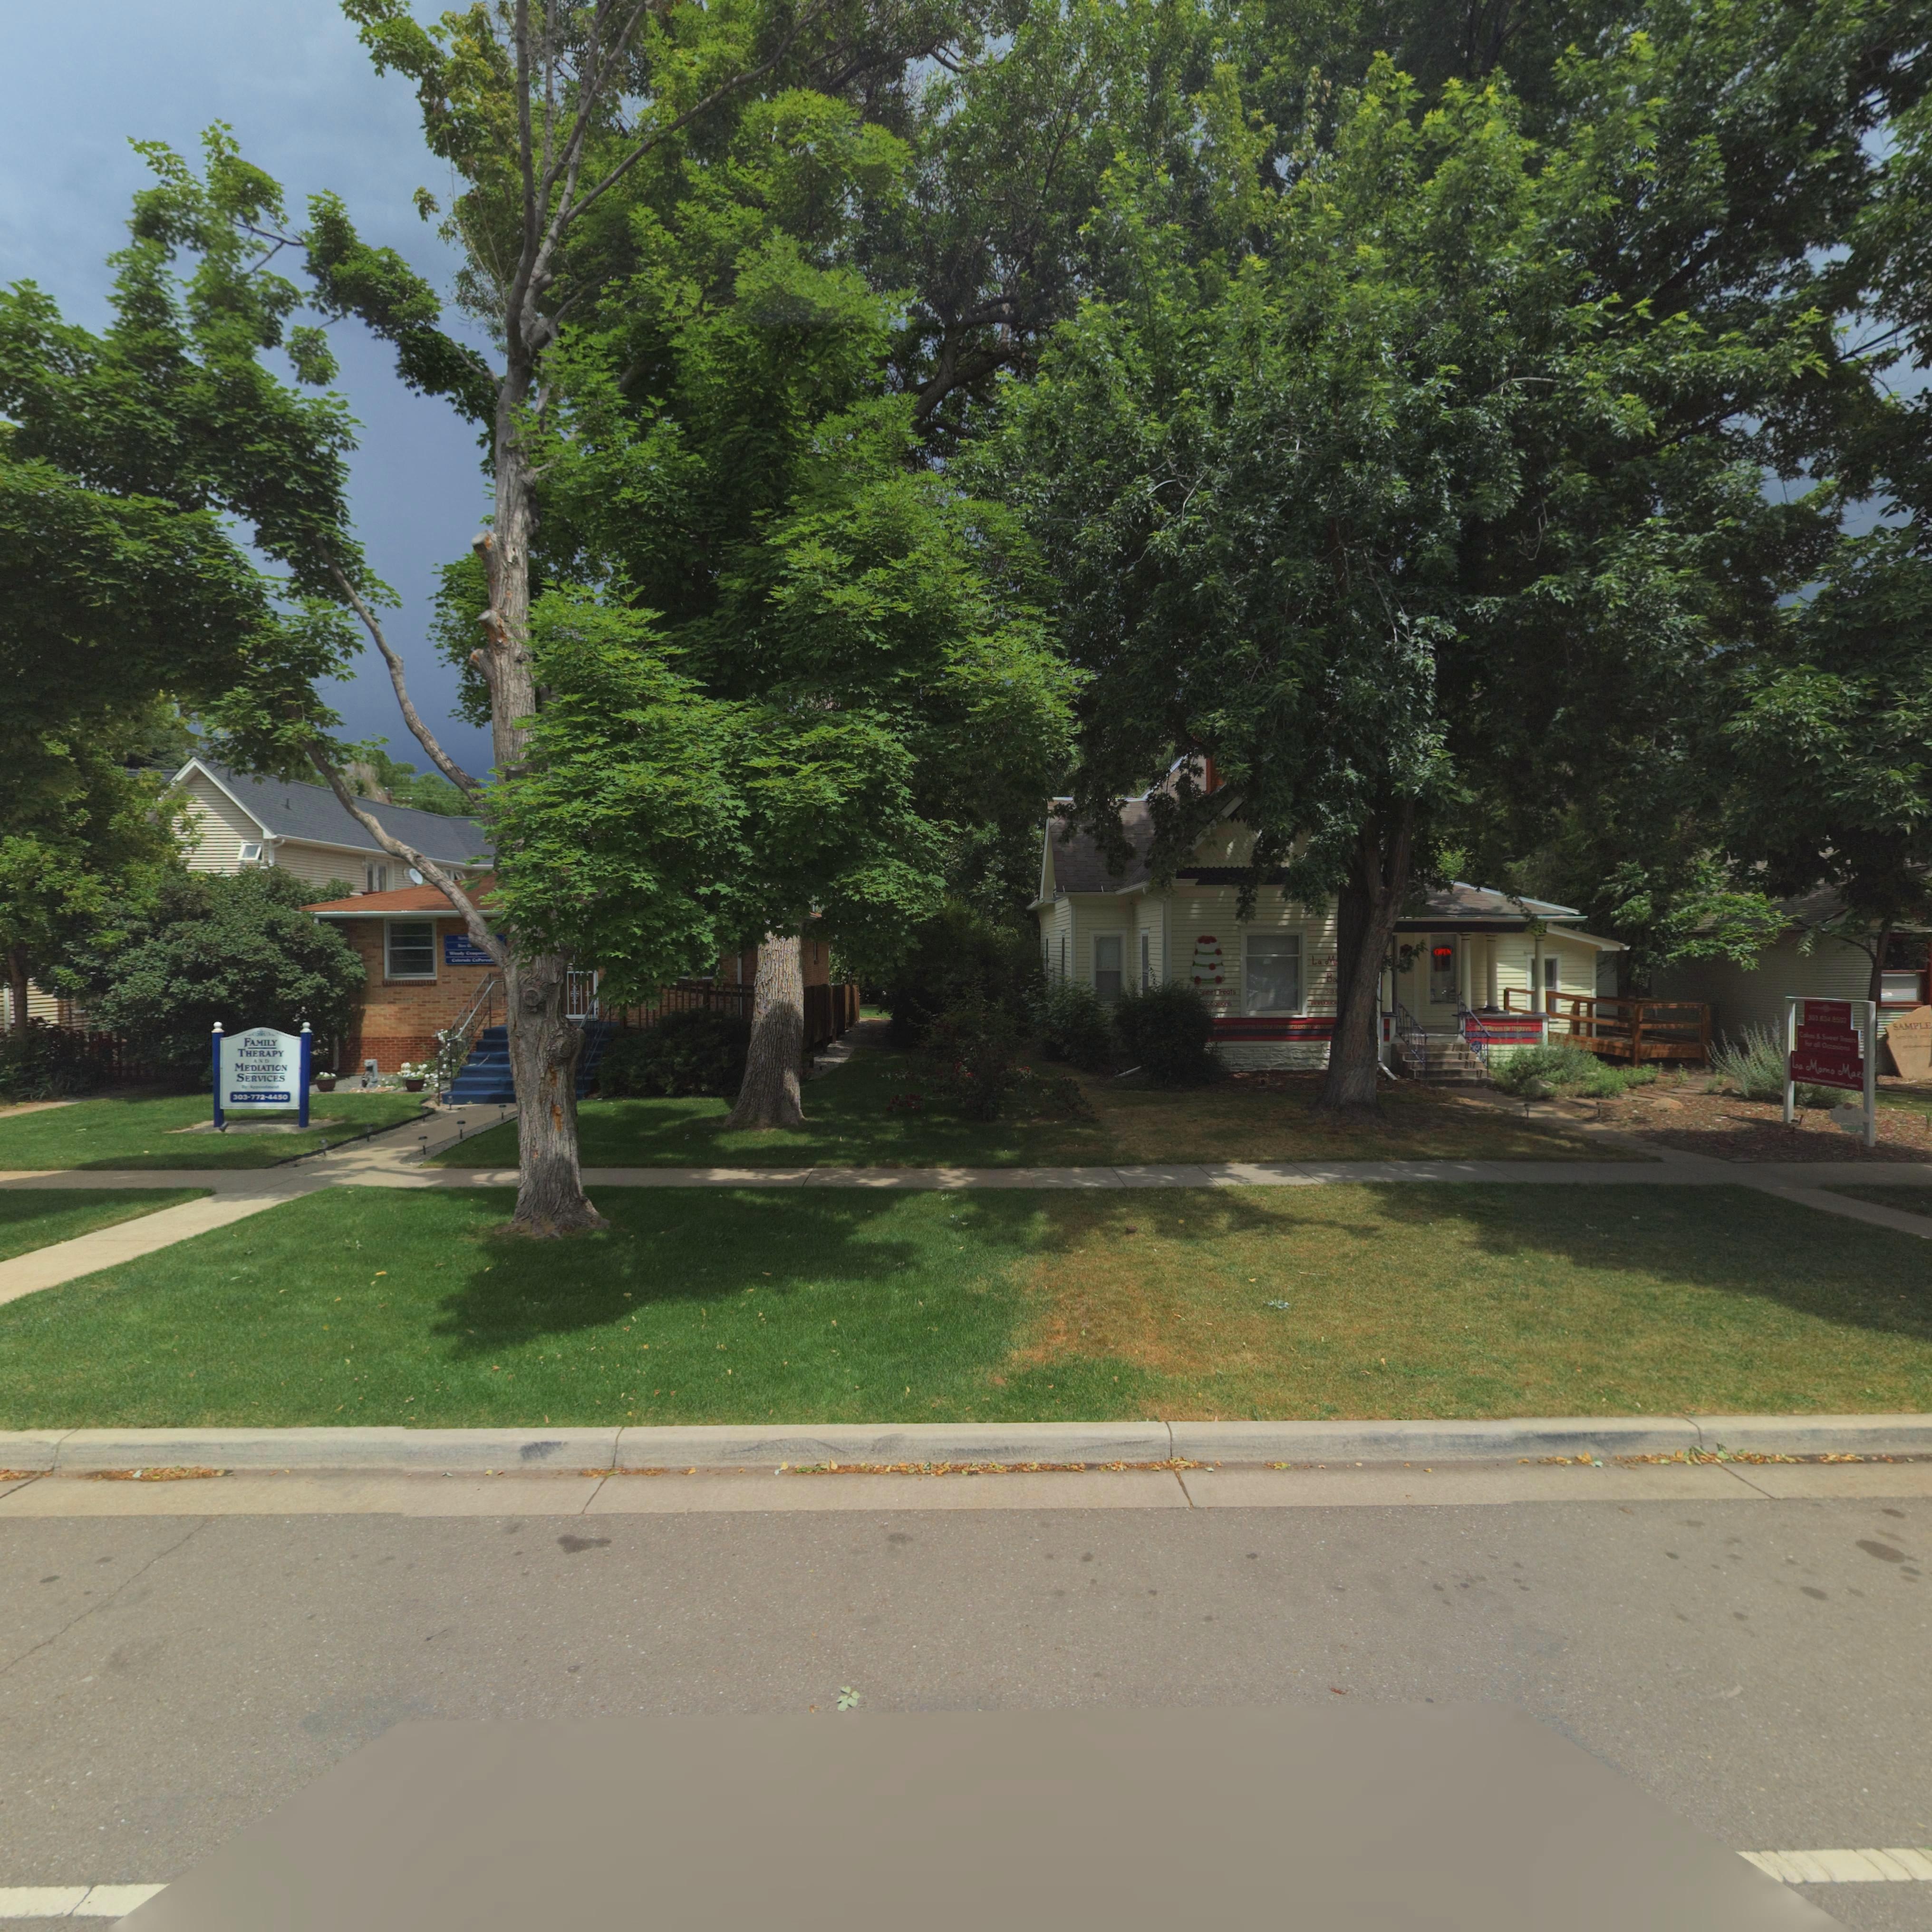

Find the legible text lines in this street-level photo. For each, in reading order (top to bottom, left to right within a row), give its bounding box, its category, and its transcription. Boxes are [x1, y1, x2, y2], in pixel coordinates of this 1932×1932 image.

[1311, 954, 1338, 966] BusinessName: La Mo
[1326, 972, 1338, 983] BusinessName: Ba
[243, 1037, 277, 1047] BusinessName: FAMILY
[237, 1048, 284, 1057] BusinessName: THERAPY
[252, 1058, 269, 1063] BusinessName: AND
[234, 1062, 288, 1072] BusinessName: MEDIATION
[1791, 1055, 1864, 1080] BusinessName: La Momo Maes
[236, 1072, 285, 1082] BusinessName: SERVICES